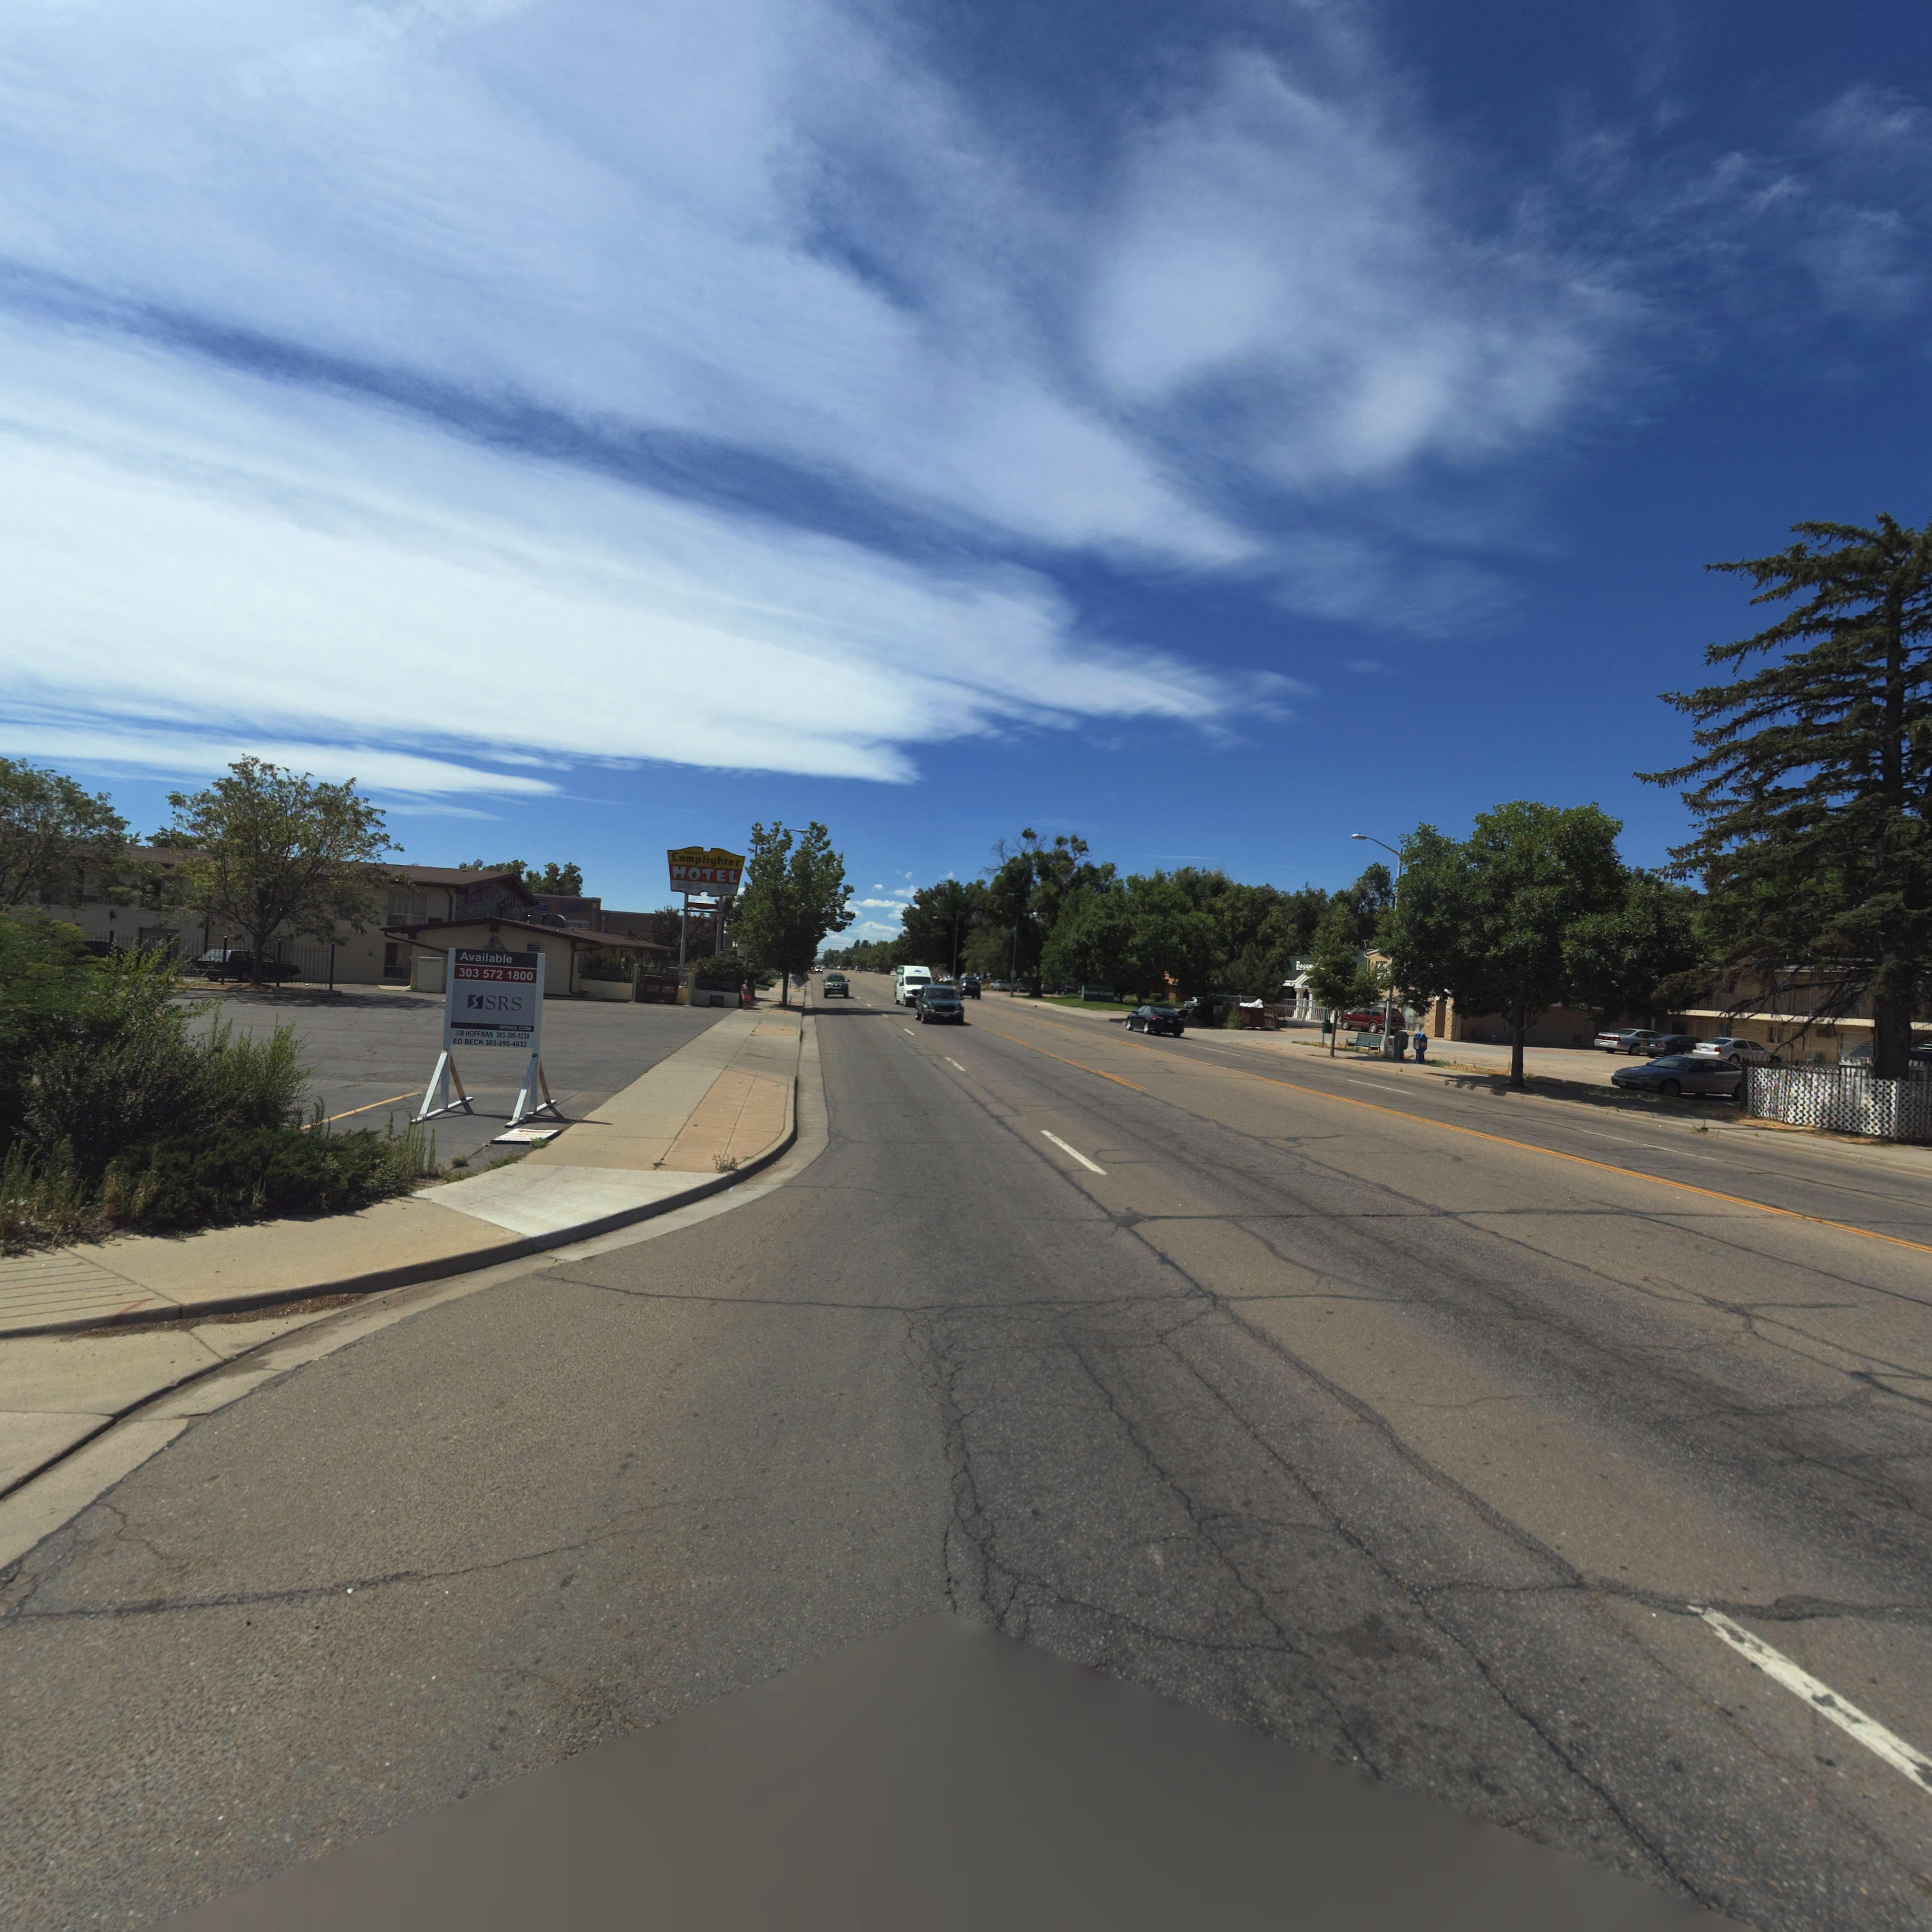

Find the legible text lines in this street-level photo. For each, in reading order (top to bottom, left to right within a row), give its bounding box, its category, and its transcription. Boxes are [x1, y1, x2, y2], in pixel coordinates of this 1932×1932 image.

[670, 850, 742, 867] BusinessName: Lamplighter
[671, 865, 737, 883] BusinessName: MOTEL
[504, 896, 517, 910] BusinessName: OTE*
[559, 908, 584, 915] BusinessName: GOO**
[1295, 960, 1309, 971] BusinessName: B*ss
[1084, 989, 1114, 996] BusinessName: ******* C*****